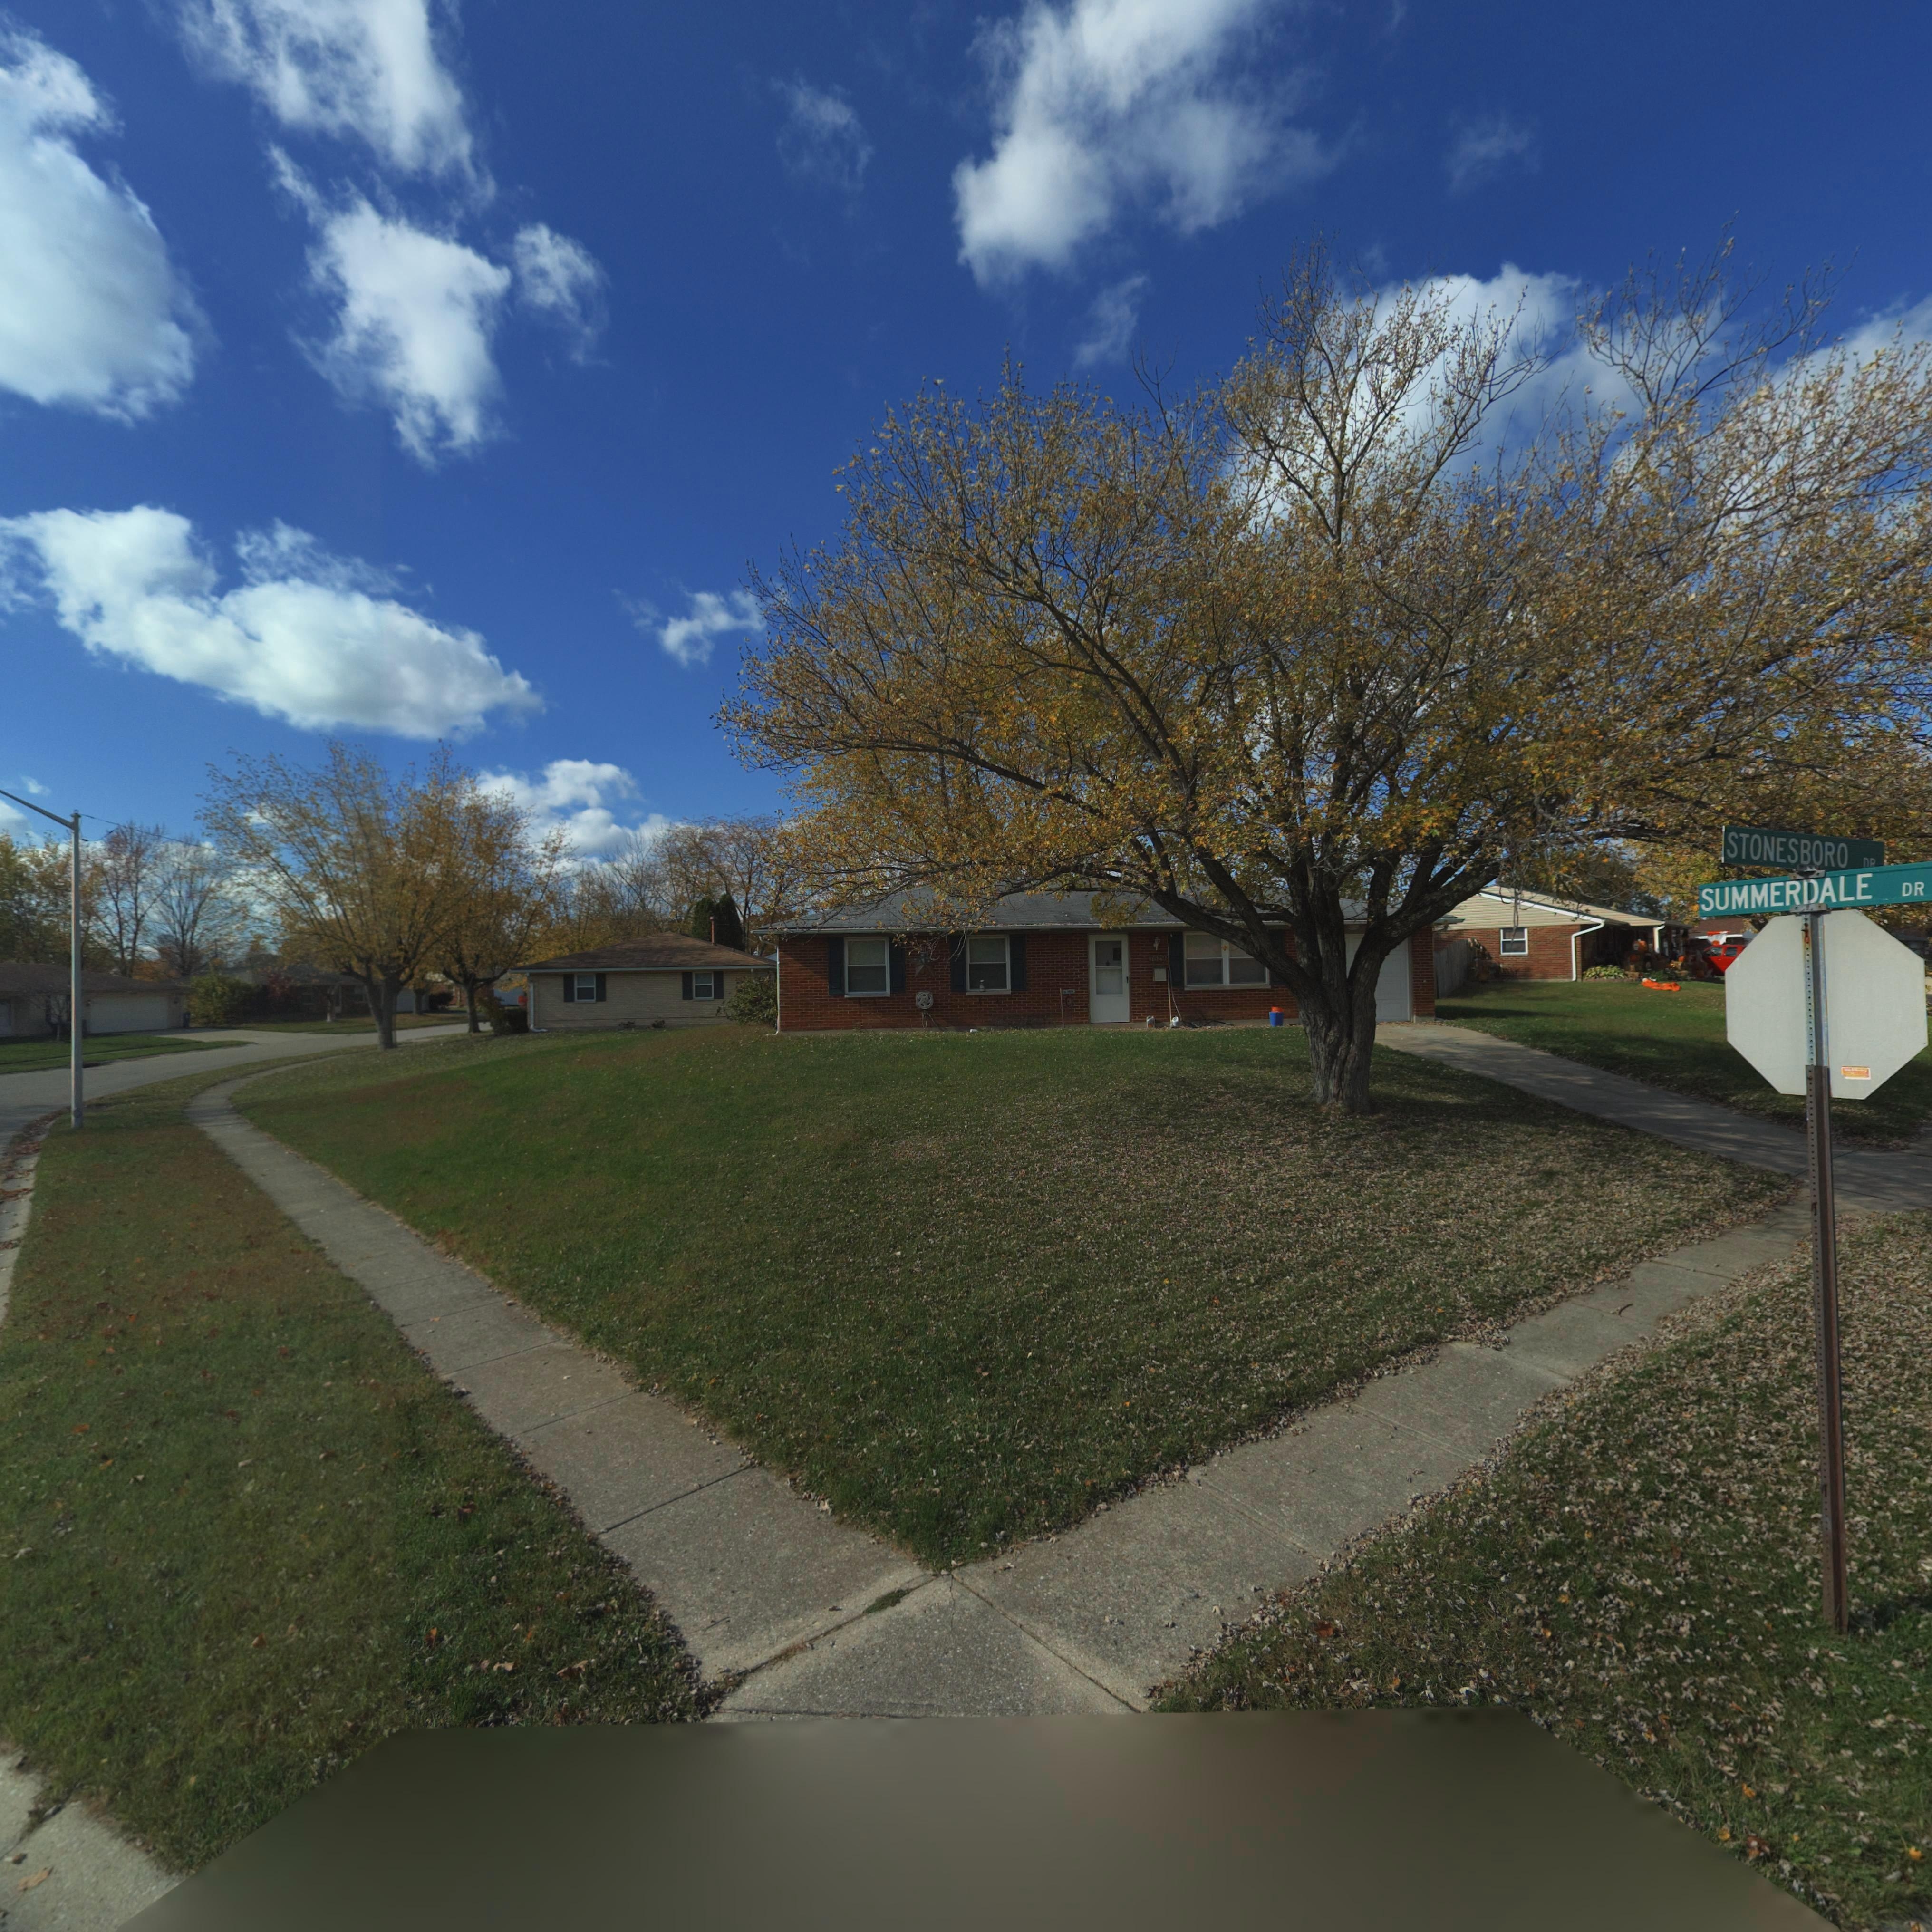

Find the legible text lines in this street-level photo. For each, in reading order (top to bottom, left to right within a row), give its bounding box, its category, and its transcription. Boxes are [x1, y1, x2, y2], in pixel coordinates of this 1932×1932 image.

[1726, 831, 1849, 869] StreetName: STONESBORO
[1700, 871, 1926, 913] StreetName: SUMMERDALE DR
[1149, 955, 1166, 962] StreetNumber: 7629